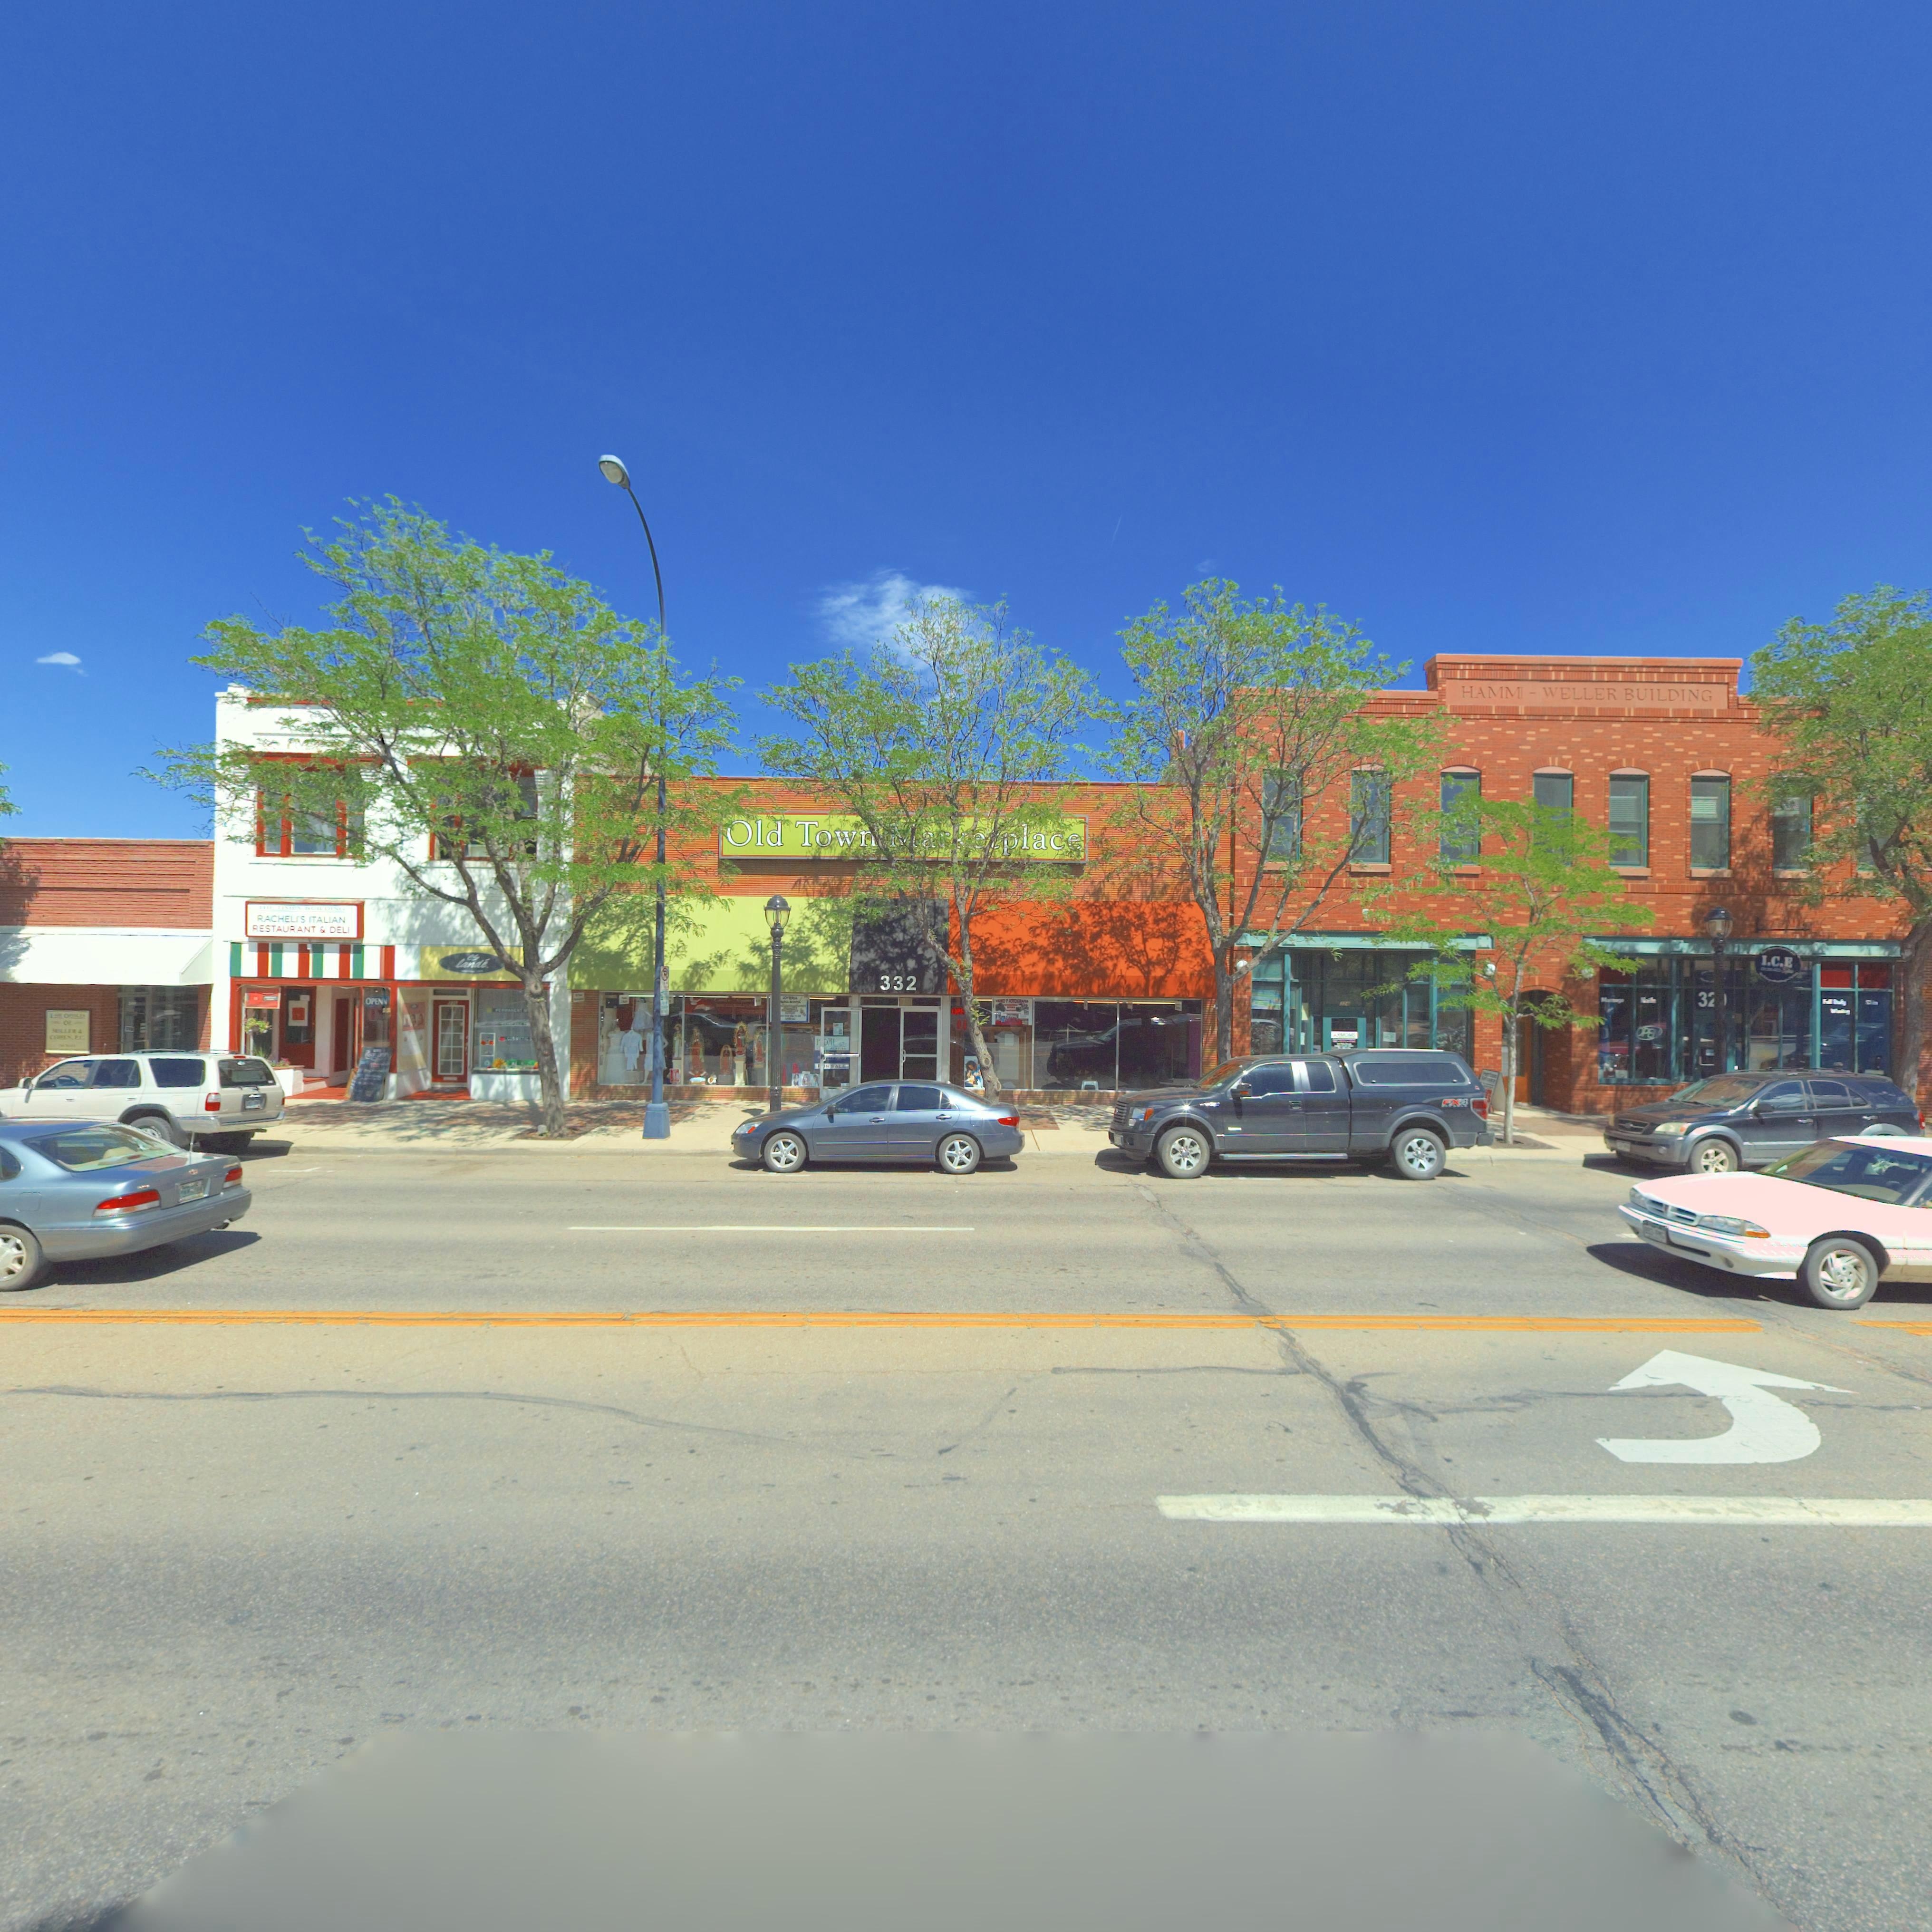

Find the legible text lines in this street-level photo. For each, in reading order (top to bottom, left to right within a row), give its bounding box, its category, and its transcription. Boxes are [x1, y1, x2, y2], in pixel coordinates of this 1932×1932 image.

[724, 819, 1082, 856] BusinessName: Old Town Marke*place
[256, 914, 345, 923] BusinessName: RACHELIS ITALIAN
[251, 924, 350, 934] BusinessName: RESTAURANT & DELI
[454, 957, 491, 969] BusinessName: lande.
[466, 953, 480, 961] BusinessName: es
[1760, 955, 1793, 968] BusinessName: I.C.E
[879, 975, 917, 991] StreetNumber: 332
[1697, 991, 1727, 1007] StreetNumber: 321
[52, 1027, 82, 1034] BusinessName: MILLER &
[48, 1034, 85, 1040] BusinessName: CO**N *.*.